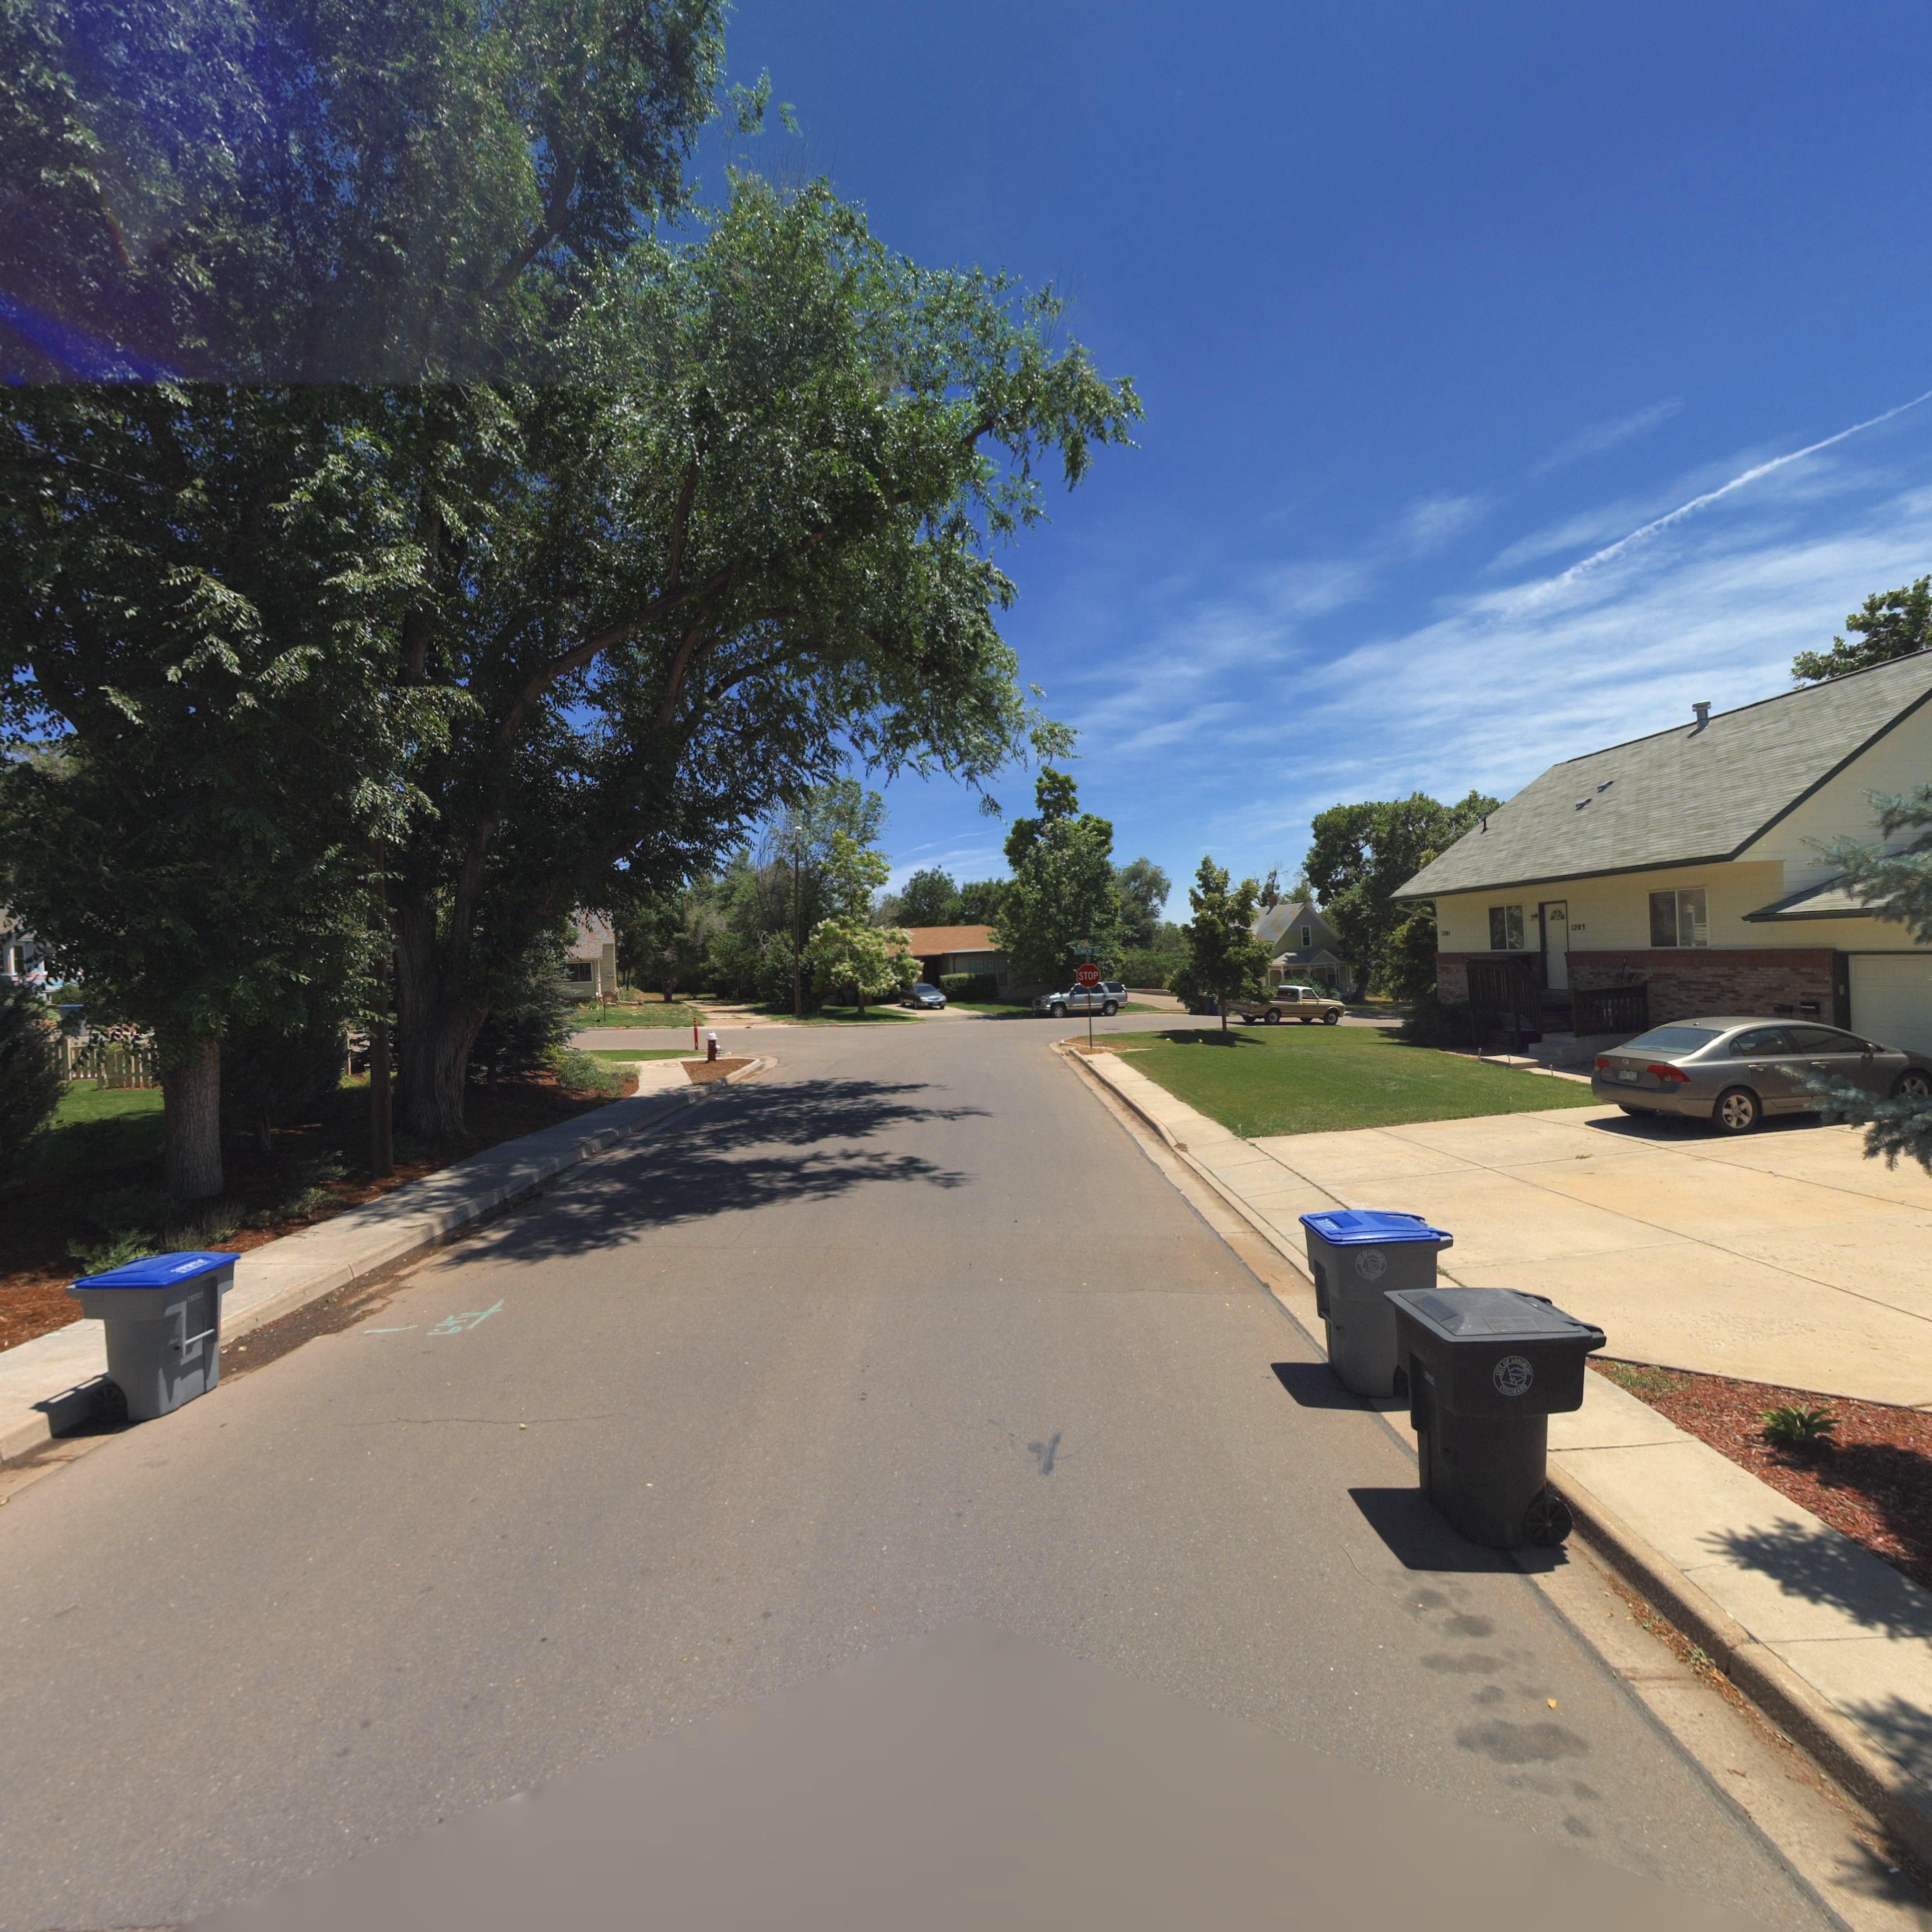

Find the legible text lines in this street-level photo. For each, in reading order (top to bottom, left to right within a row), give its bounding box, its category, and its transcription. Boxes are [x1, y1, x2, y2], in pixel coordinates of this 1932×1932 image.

[1572, 924, 1585, 931] StreetNumber: 1203
[1440, 930, 1450, 936] StreetNumber: 1201
[1074, 947, 1100, 955] StreetName: BOWEN ST